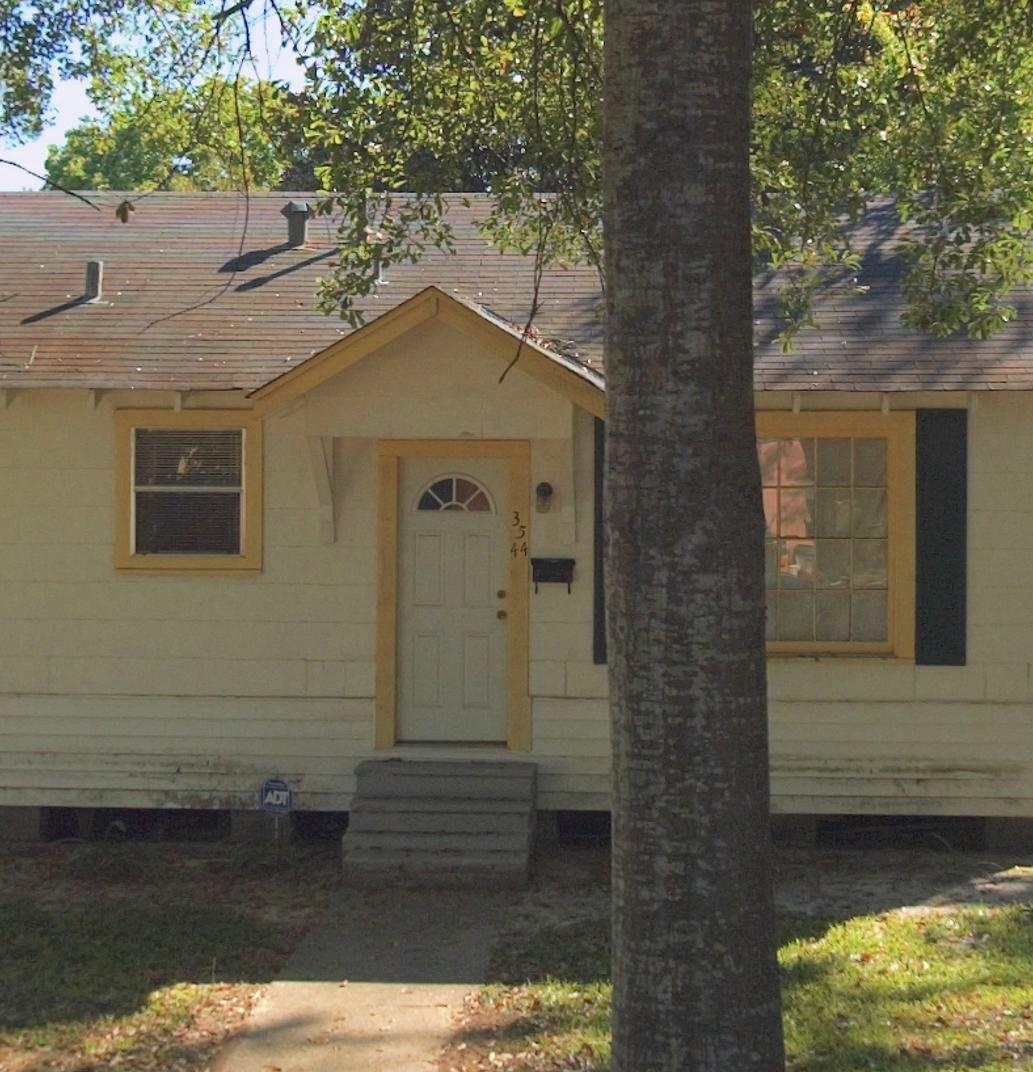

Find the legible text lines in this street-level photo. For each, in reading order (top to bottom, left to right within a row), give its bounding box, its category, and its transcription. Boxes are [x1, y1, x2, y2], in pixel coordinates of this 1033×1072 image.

[509, 508, 529, 559] StreetNumber: 3544
[262, 789, 290, 806] None: ADT